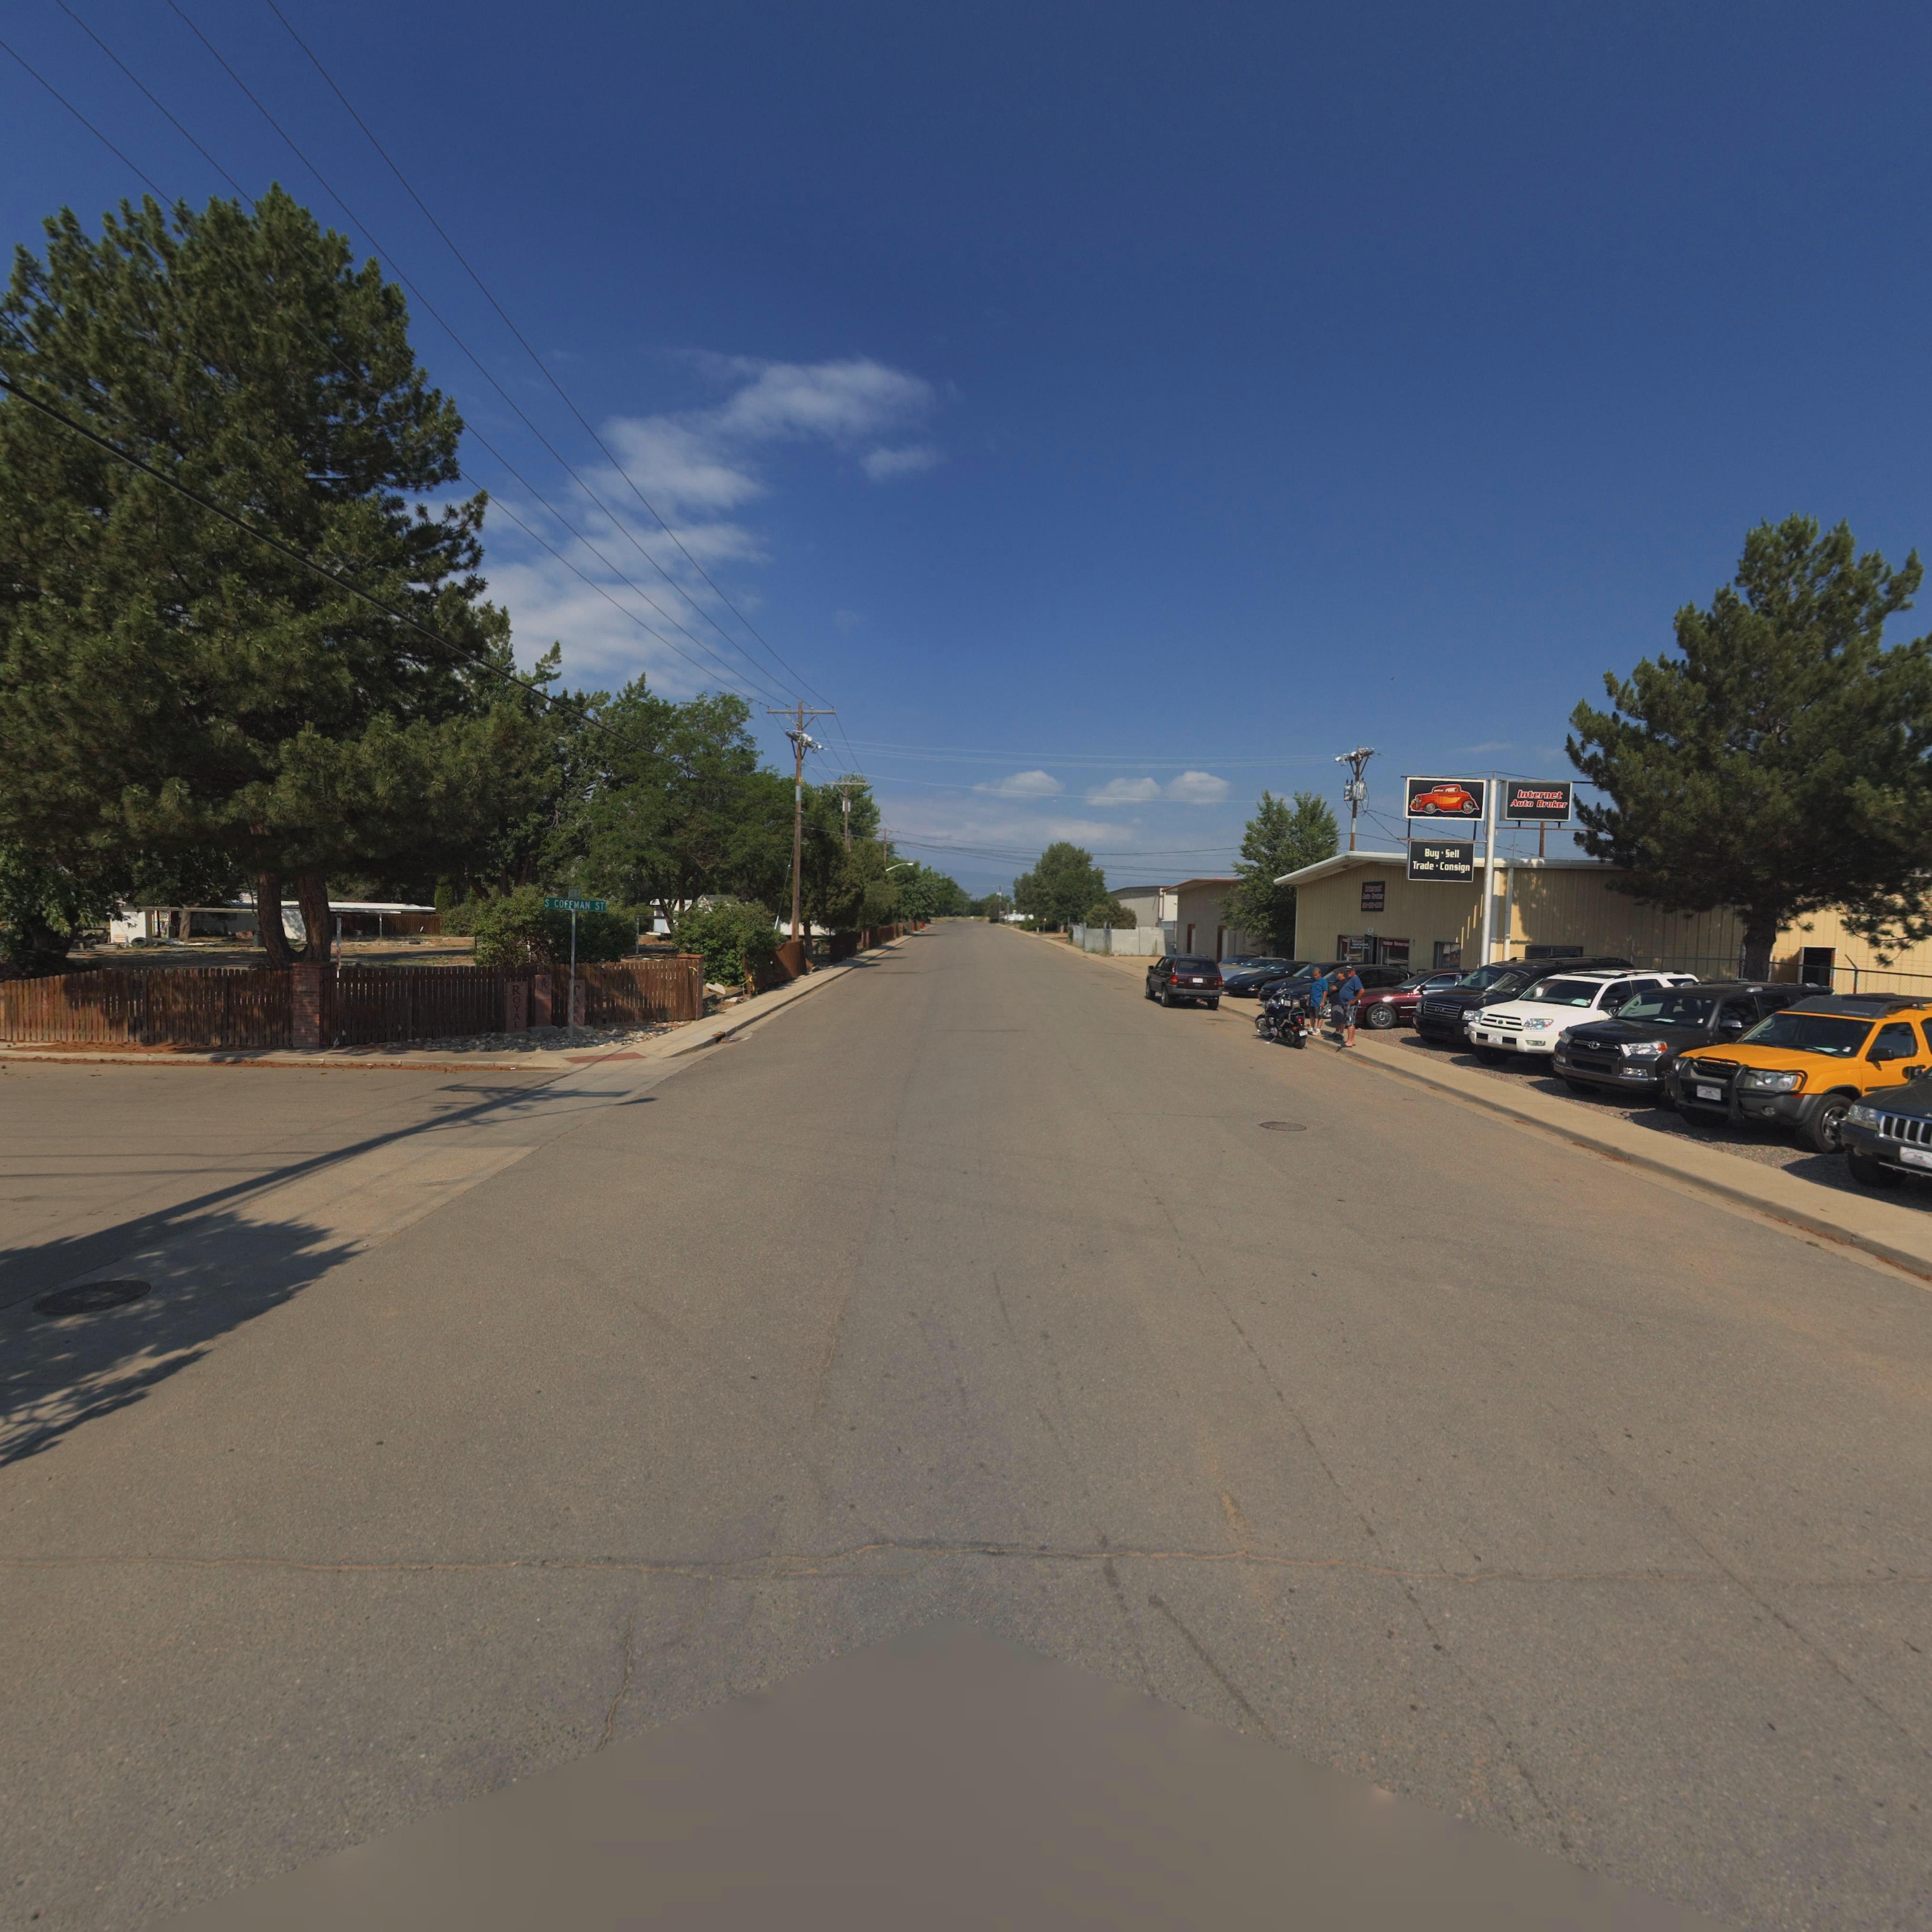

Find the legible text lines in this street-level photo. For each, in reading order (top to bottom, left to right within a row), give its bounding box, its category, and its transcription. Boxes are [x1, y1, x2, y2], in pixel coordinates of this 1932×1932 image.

[1517, 789, 1563, 800] BusinessName: Internet
[1509, 799, 1568, 808] BusinessName: Auto Broker
[1364, 885, 1382, 892] BusinessName: I******t
[1362, 893, 1383, 899] BusinessName: A*** B***er
[544, 898, 605, 910] StreetName: S COFFMAN ST